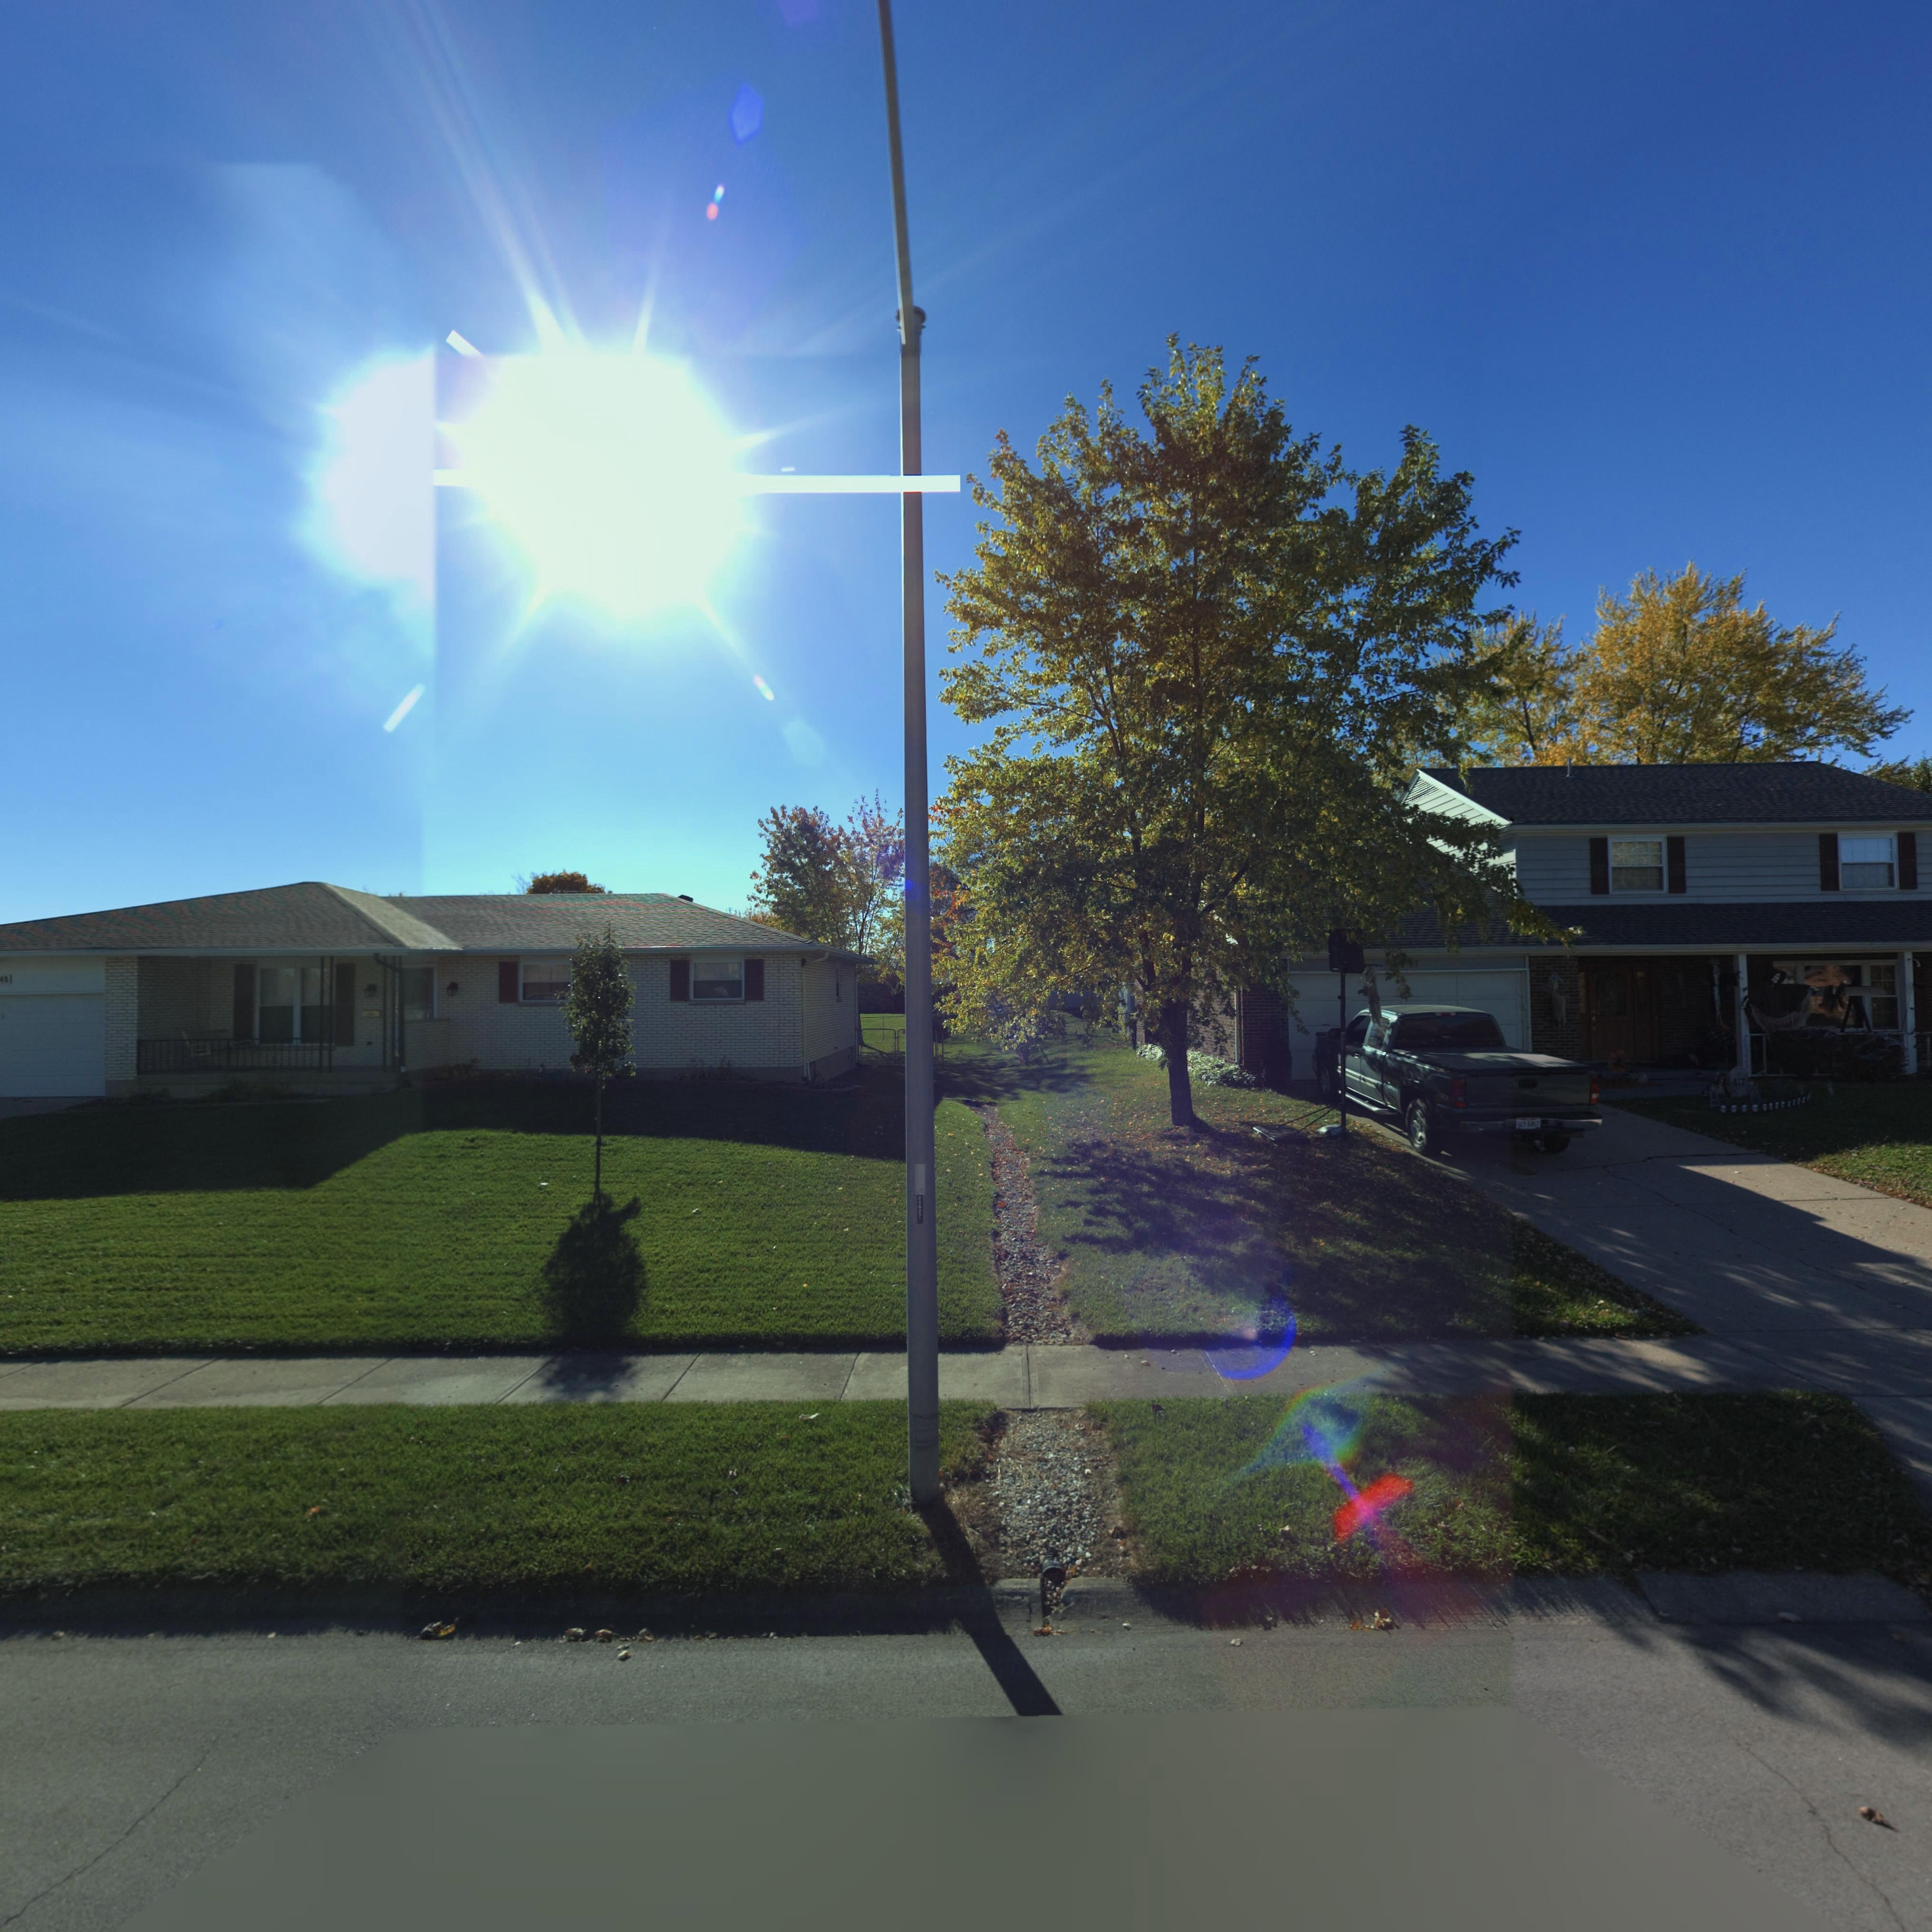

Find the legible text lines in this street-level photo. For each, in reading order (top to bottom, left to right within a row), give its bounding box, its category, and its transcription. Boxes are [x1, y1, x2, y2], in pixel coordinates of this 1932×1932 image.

[1414, 960, 1420, 967] StreetNumber: 7
[4, 976, 9, 983] StreetNumber: 5